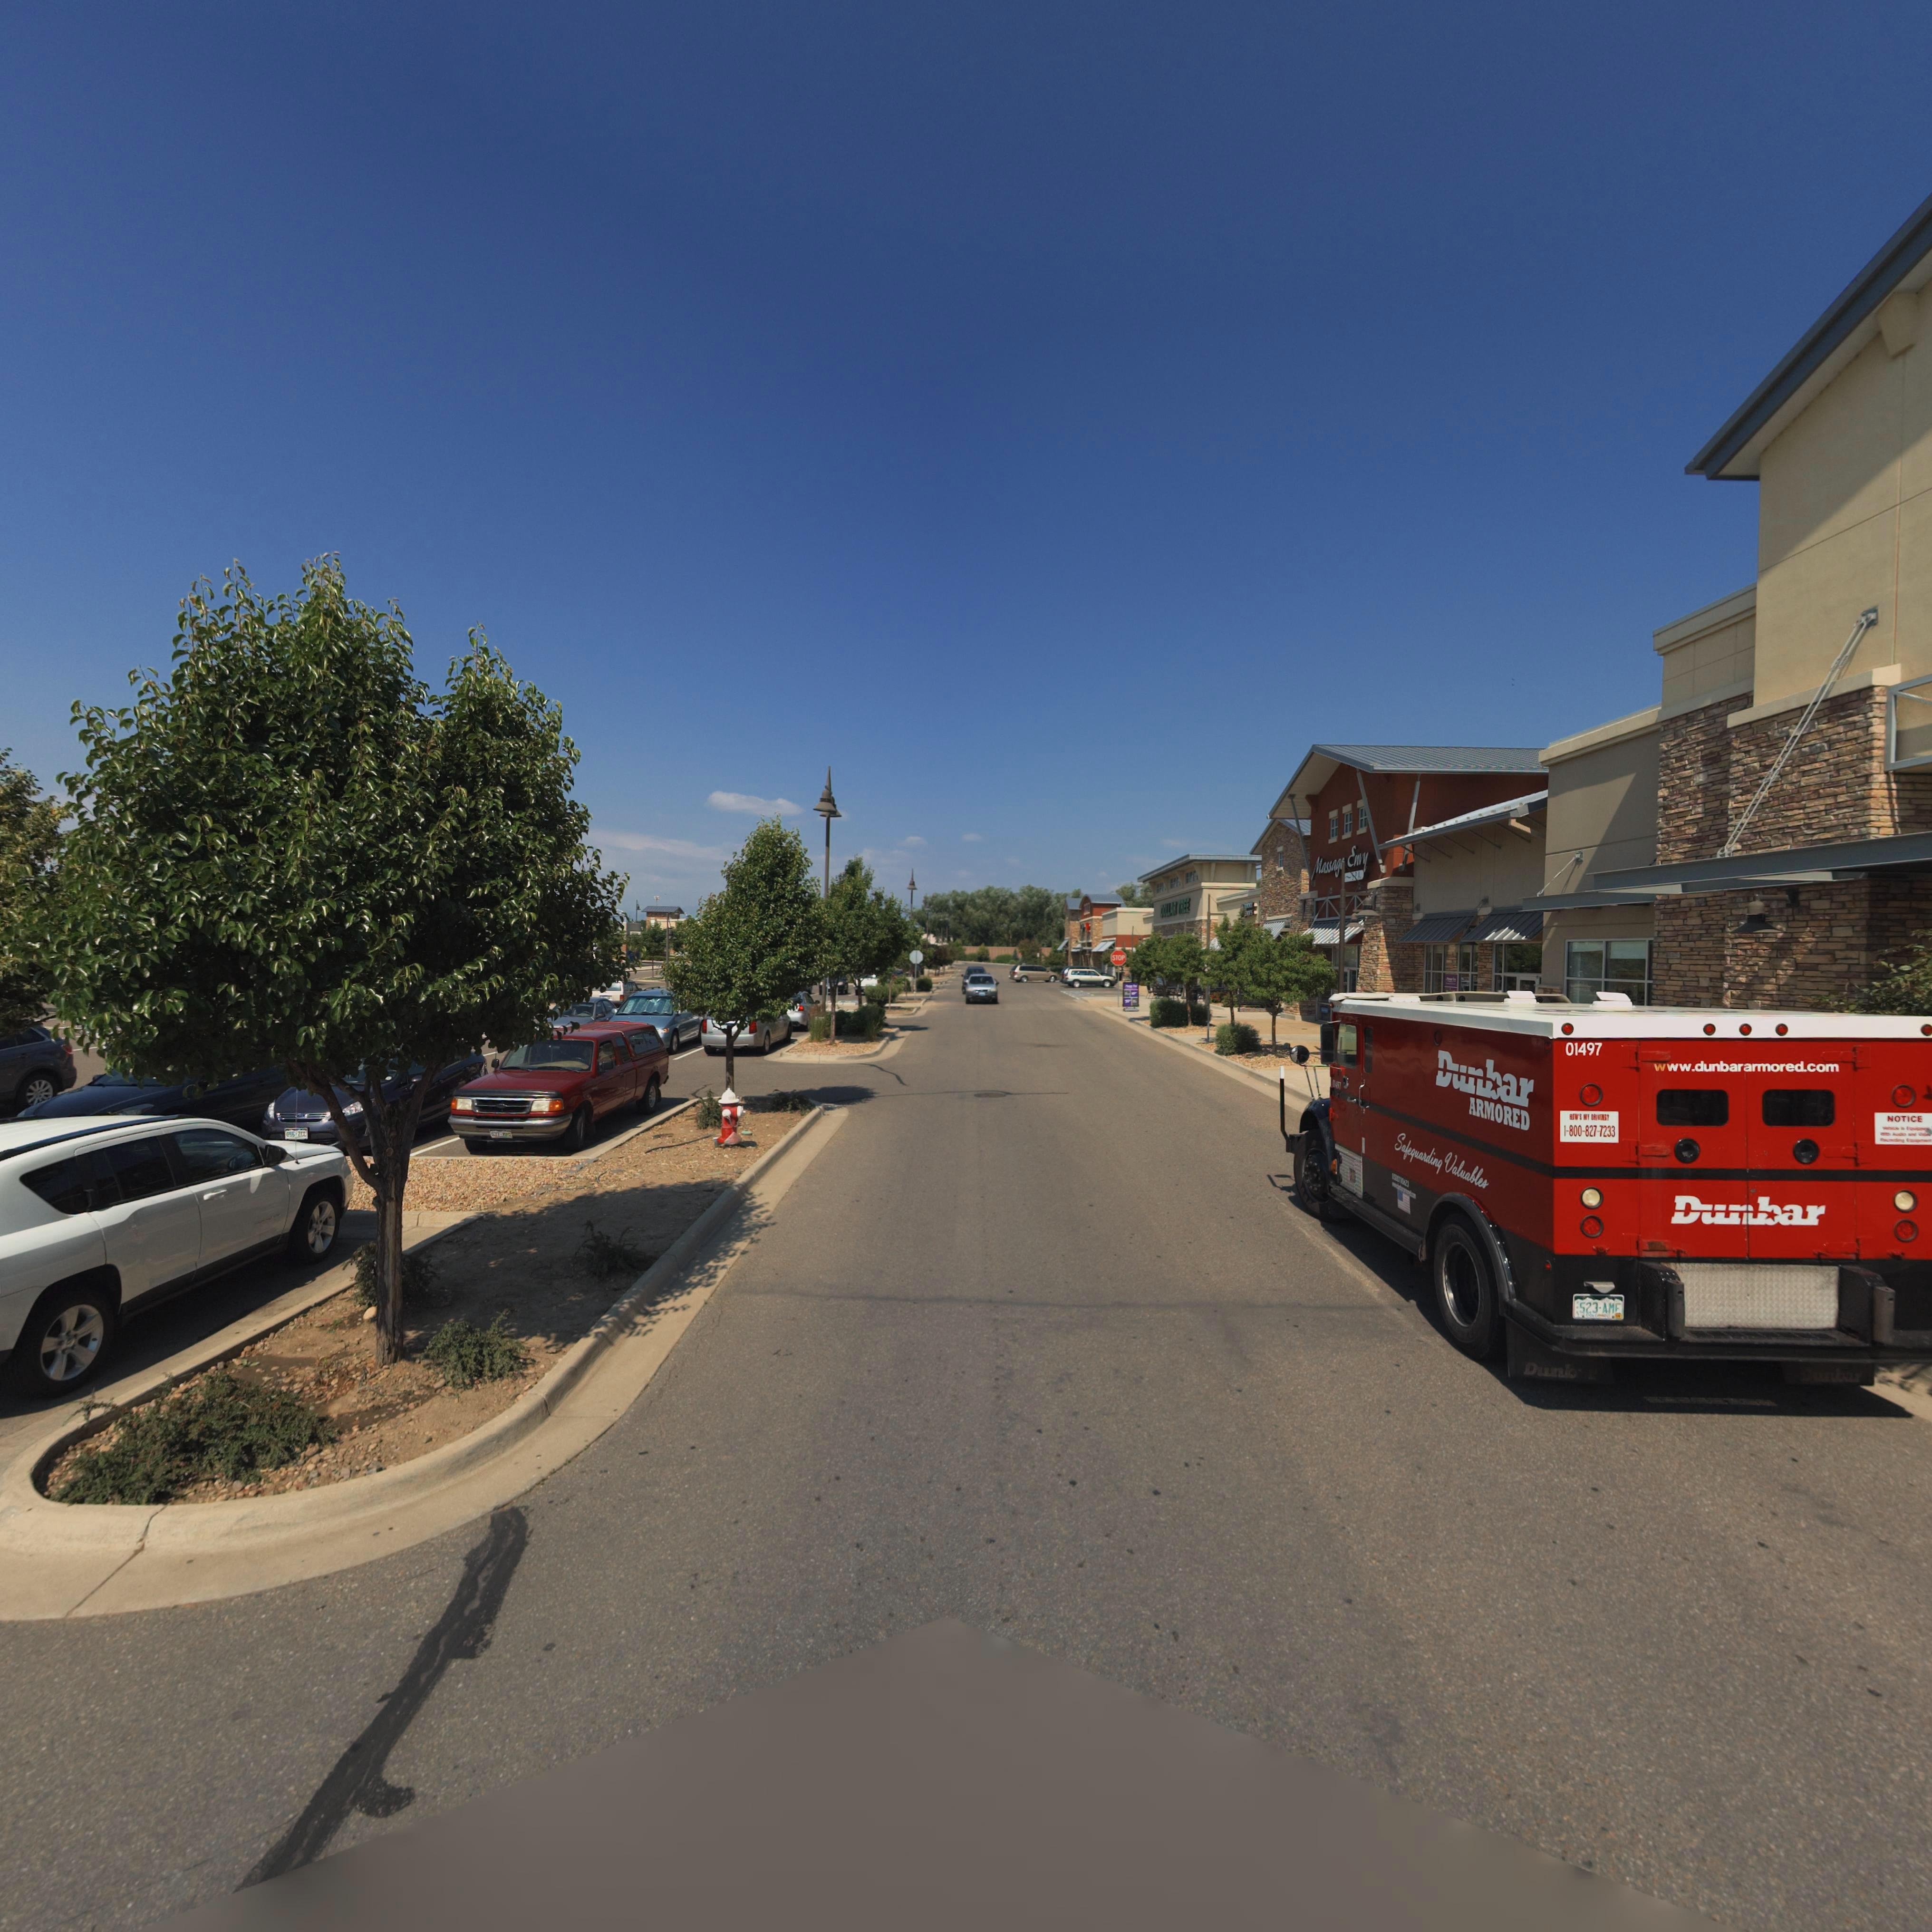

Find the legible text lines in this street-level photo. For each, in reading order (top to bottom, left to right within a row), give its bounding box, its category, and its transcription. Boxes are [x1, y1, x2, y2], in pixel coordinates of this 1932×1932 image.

[1311, 845, 1370, 880] None: Massag* Envy
[1351, 871, 1360, 880] BusinessName: **A
[1159, 897, 1190, 918] BusinessName: DOLLAR TREE